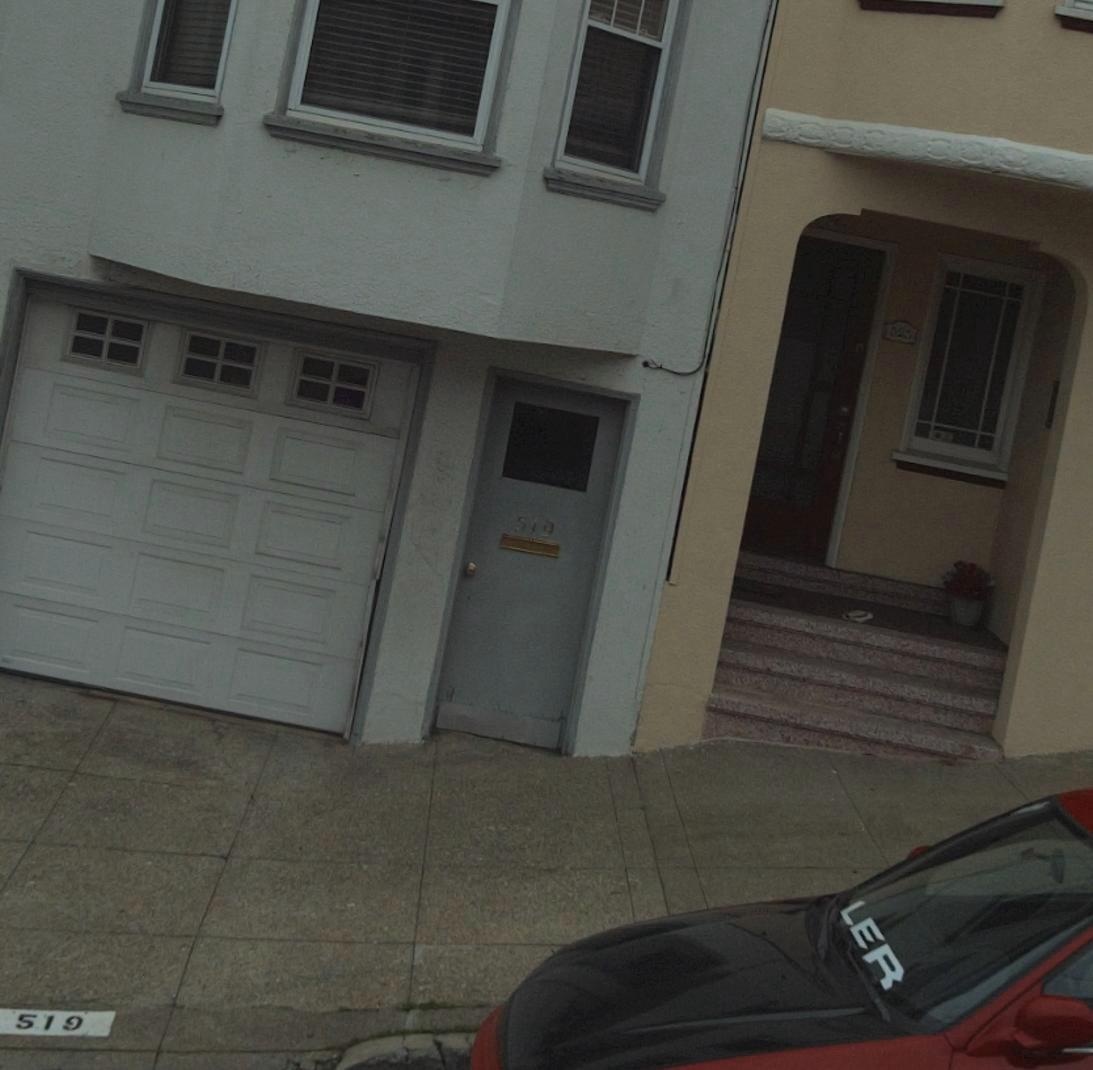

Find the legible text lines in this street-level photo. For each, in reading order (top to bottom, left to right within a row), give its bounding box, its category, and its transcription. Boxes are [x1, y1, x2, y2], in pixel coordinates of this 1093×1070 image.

[888, 323, 915, 341] StreetNumber: 525
[512, 512, 558, 540] StreetNumber: 519
[837, 896, 908, 995] None: LER
[11, 1012, 87, 1034] StreetNumber: 519